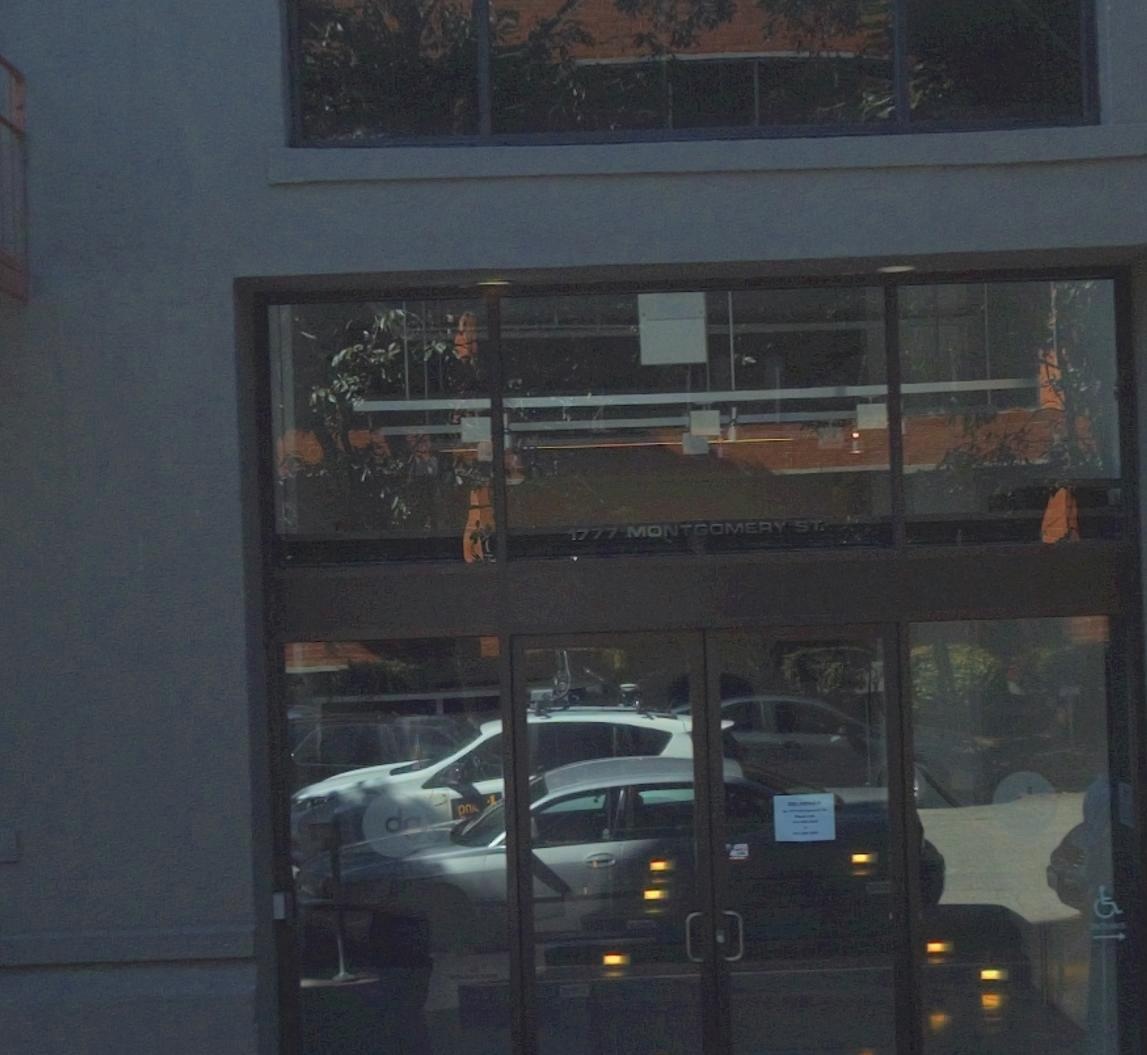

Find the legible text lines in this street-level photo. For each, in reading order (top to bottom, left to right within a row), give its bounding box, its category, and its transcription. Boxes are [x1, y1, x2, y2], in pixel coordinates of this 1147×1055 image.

[565, 524, 621, 543] StreetNumber: 1777
[624, 517, 826, 541] StreetName: MONTGOMERY ST.
[383, 804, 405, 833] None: d